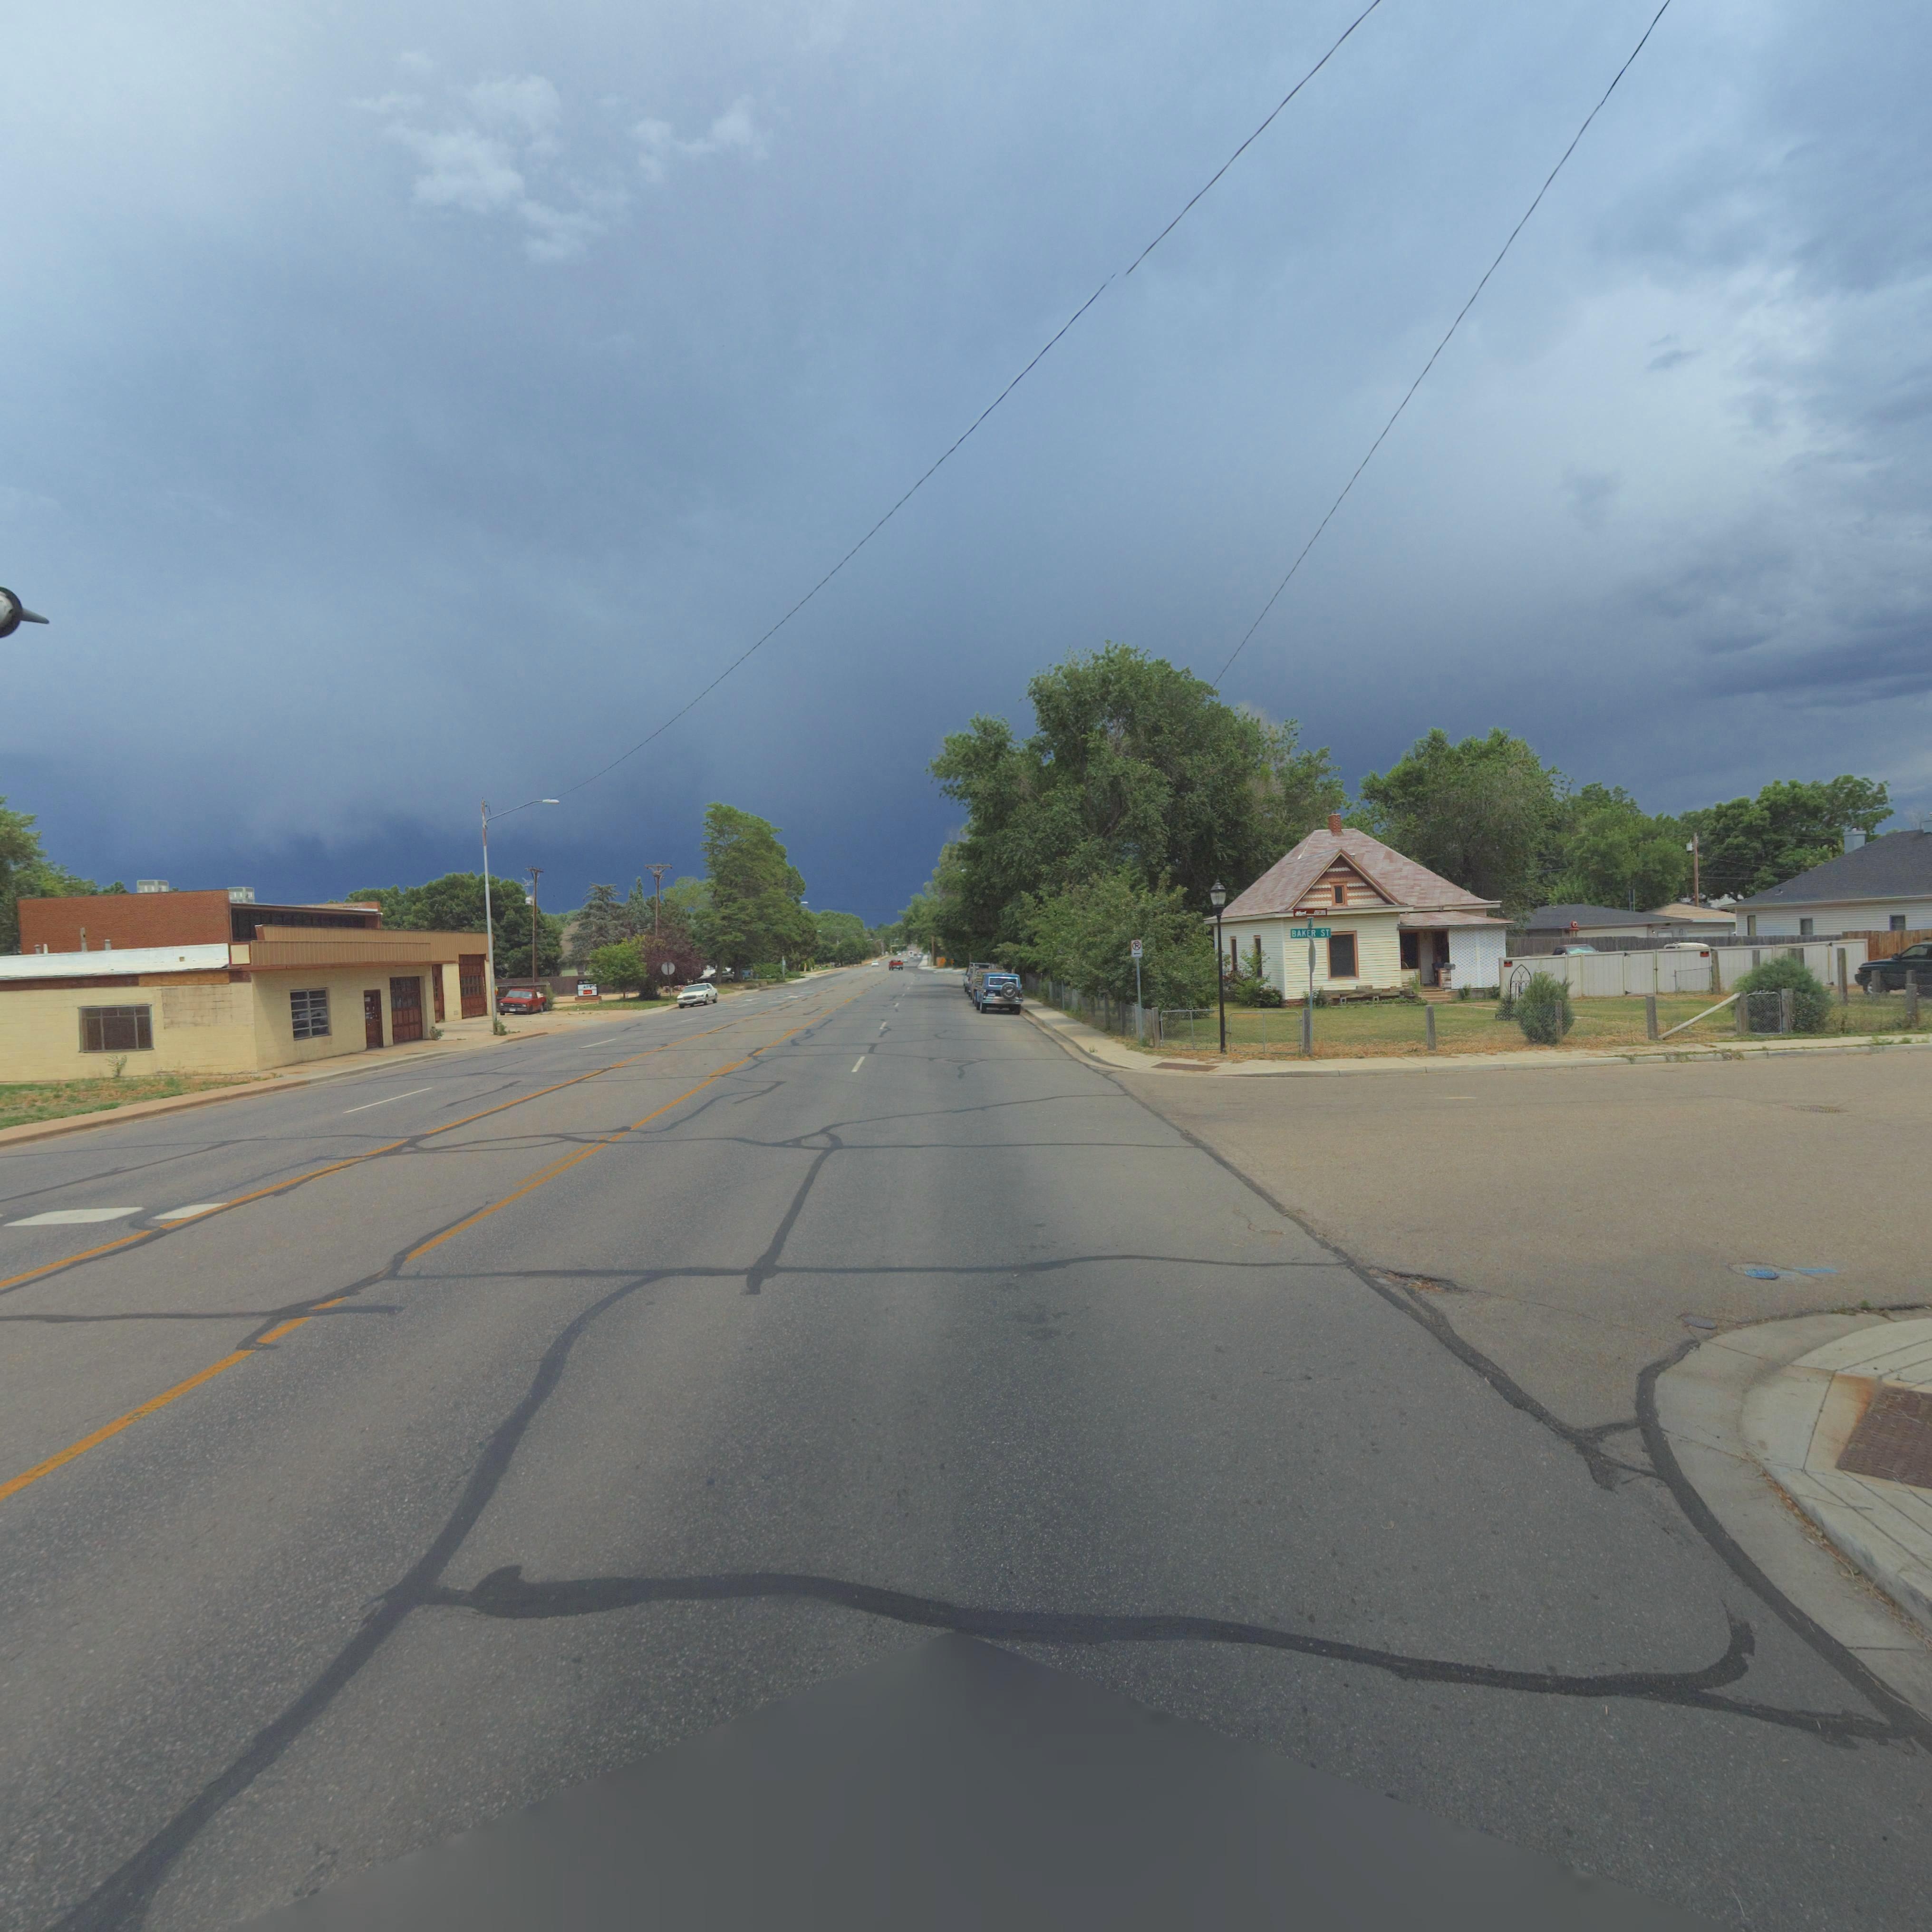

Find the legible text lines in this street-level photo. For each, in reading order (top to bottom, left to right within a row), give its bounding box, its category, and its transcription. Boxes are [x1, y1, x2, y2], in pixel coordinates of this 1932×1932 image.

[1291, 928, 1330, 937] StreetName: BAKER ST